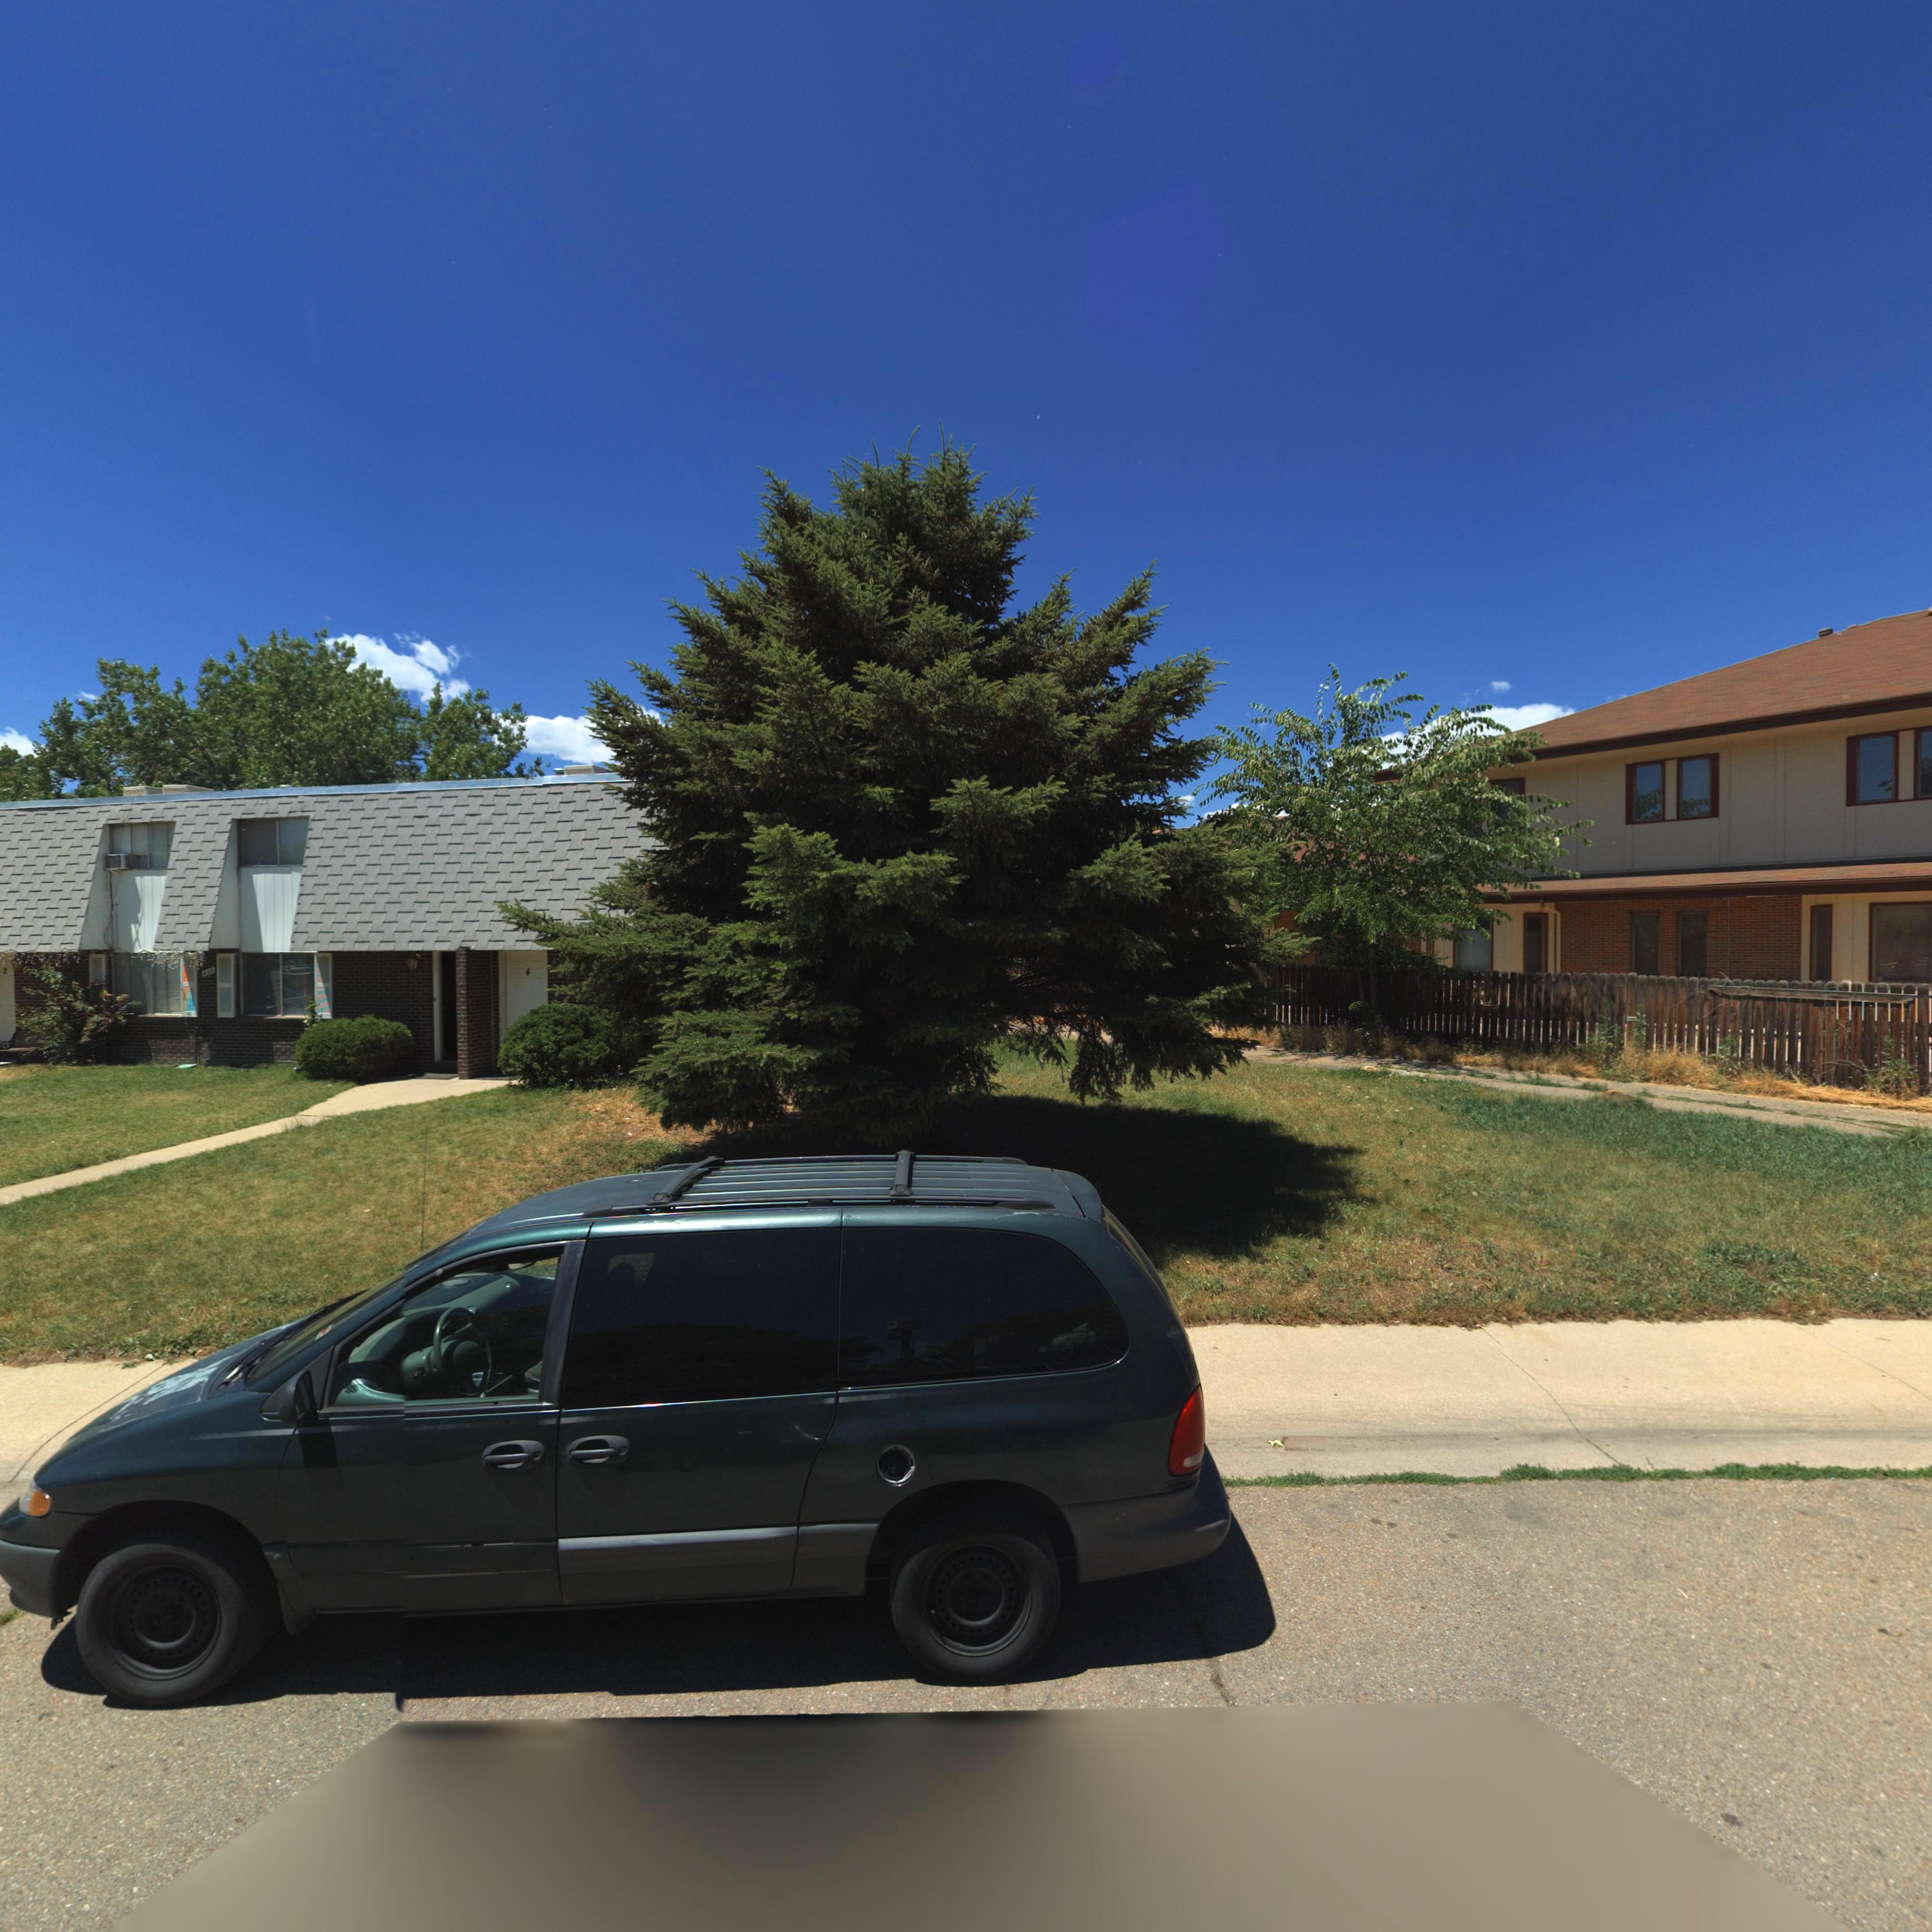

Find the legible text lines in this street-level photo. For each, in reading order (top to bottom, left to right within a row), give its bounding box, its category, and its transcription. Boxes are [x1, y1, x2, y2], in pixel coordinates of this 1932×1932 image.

[2, 966, 8, 974] StreetNumber: 2
[202, 967, 214, 976] StreetNumber: *3*
[524, 967, 531, 976] StreetNumber: 4